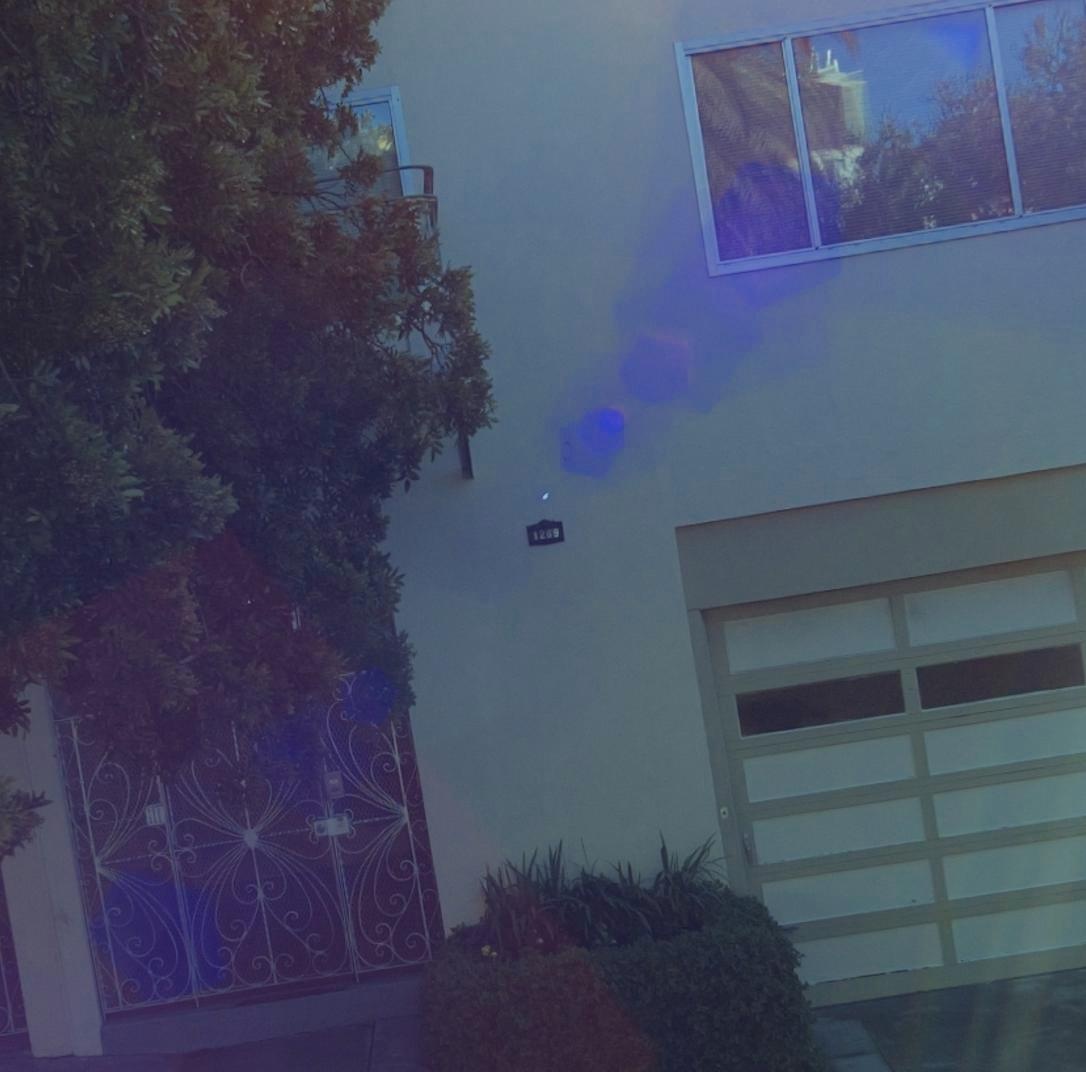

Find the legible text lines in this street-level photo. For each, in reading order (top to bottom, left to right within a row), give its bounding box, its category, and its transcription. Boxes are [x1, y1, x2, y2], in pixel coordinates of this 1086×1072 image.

[531, 528, 561, 543] StreetNumber: 1269